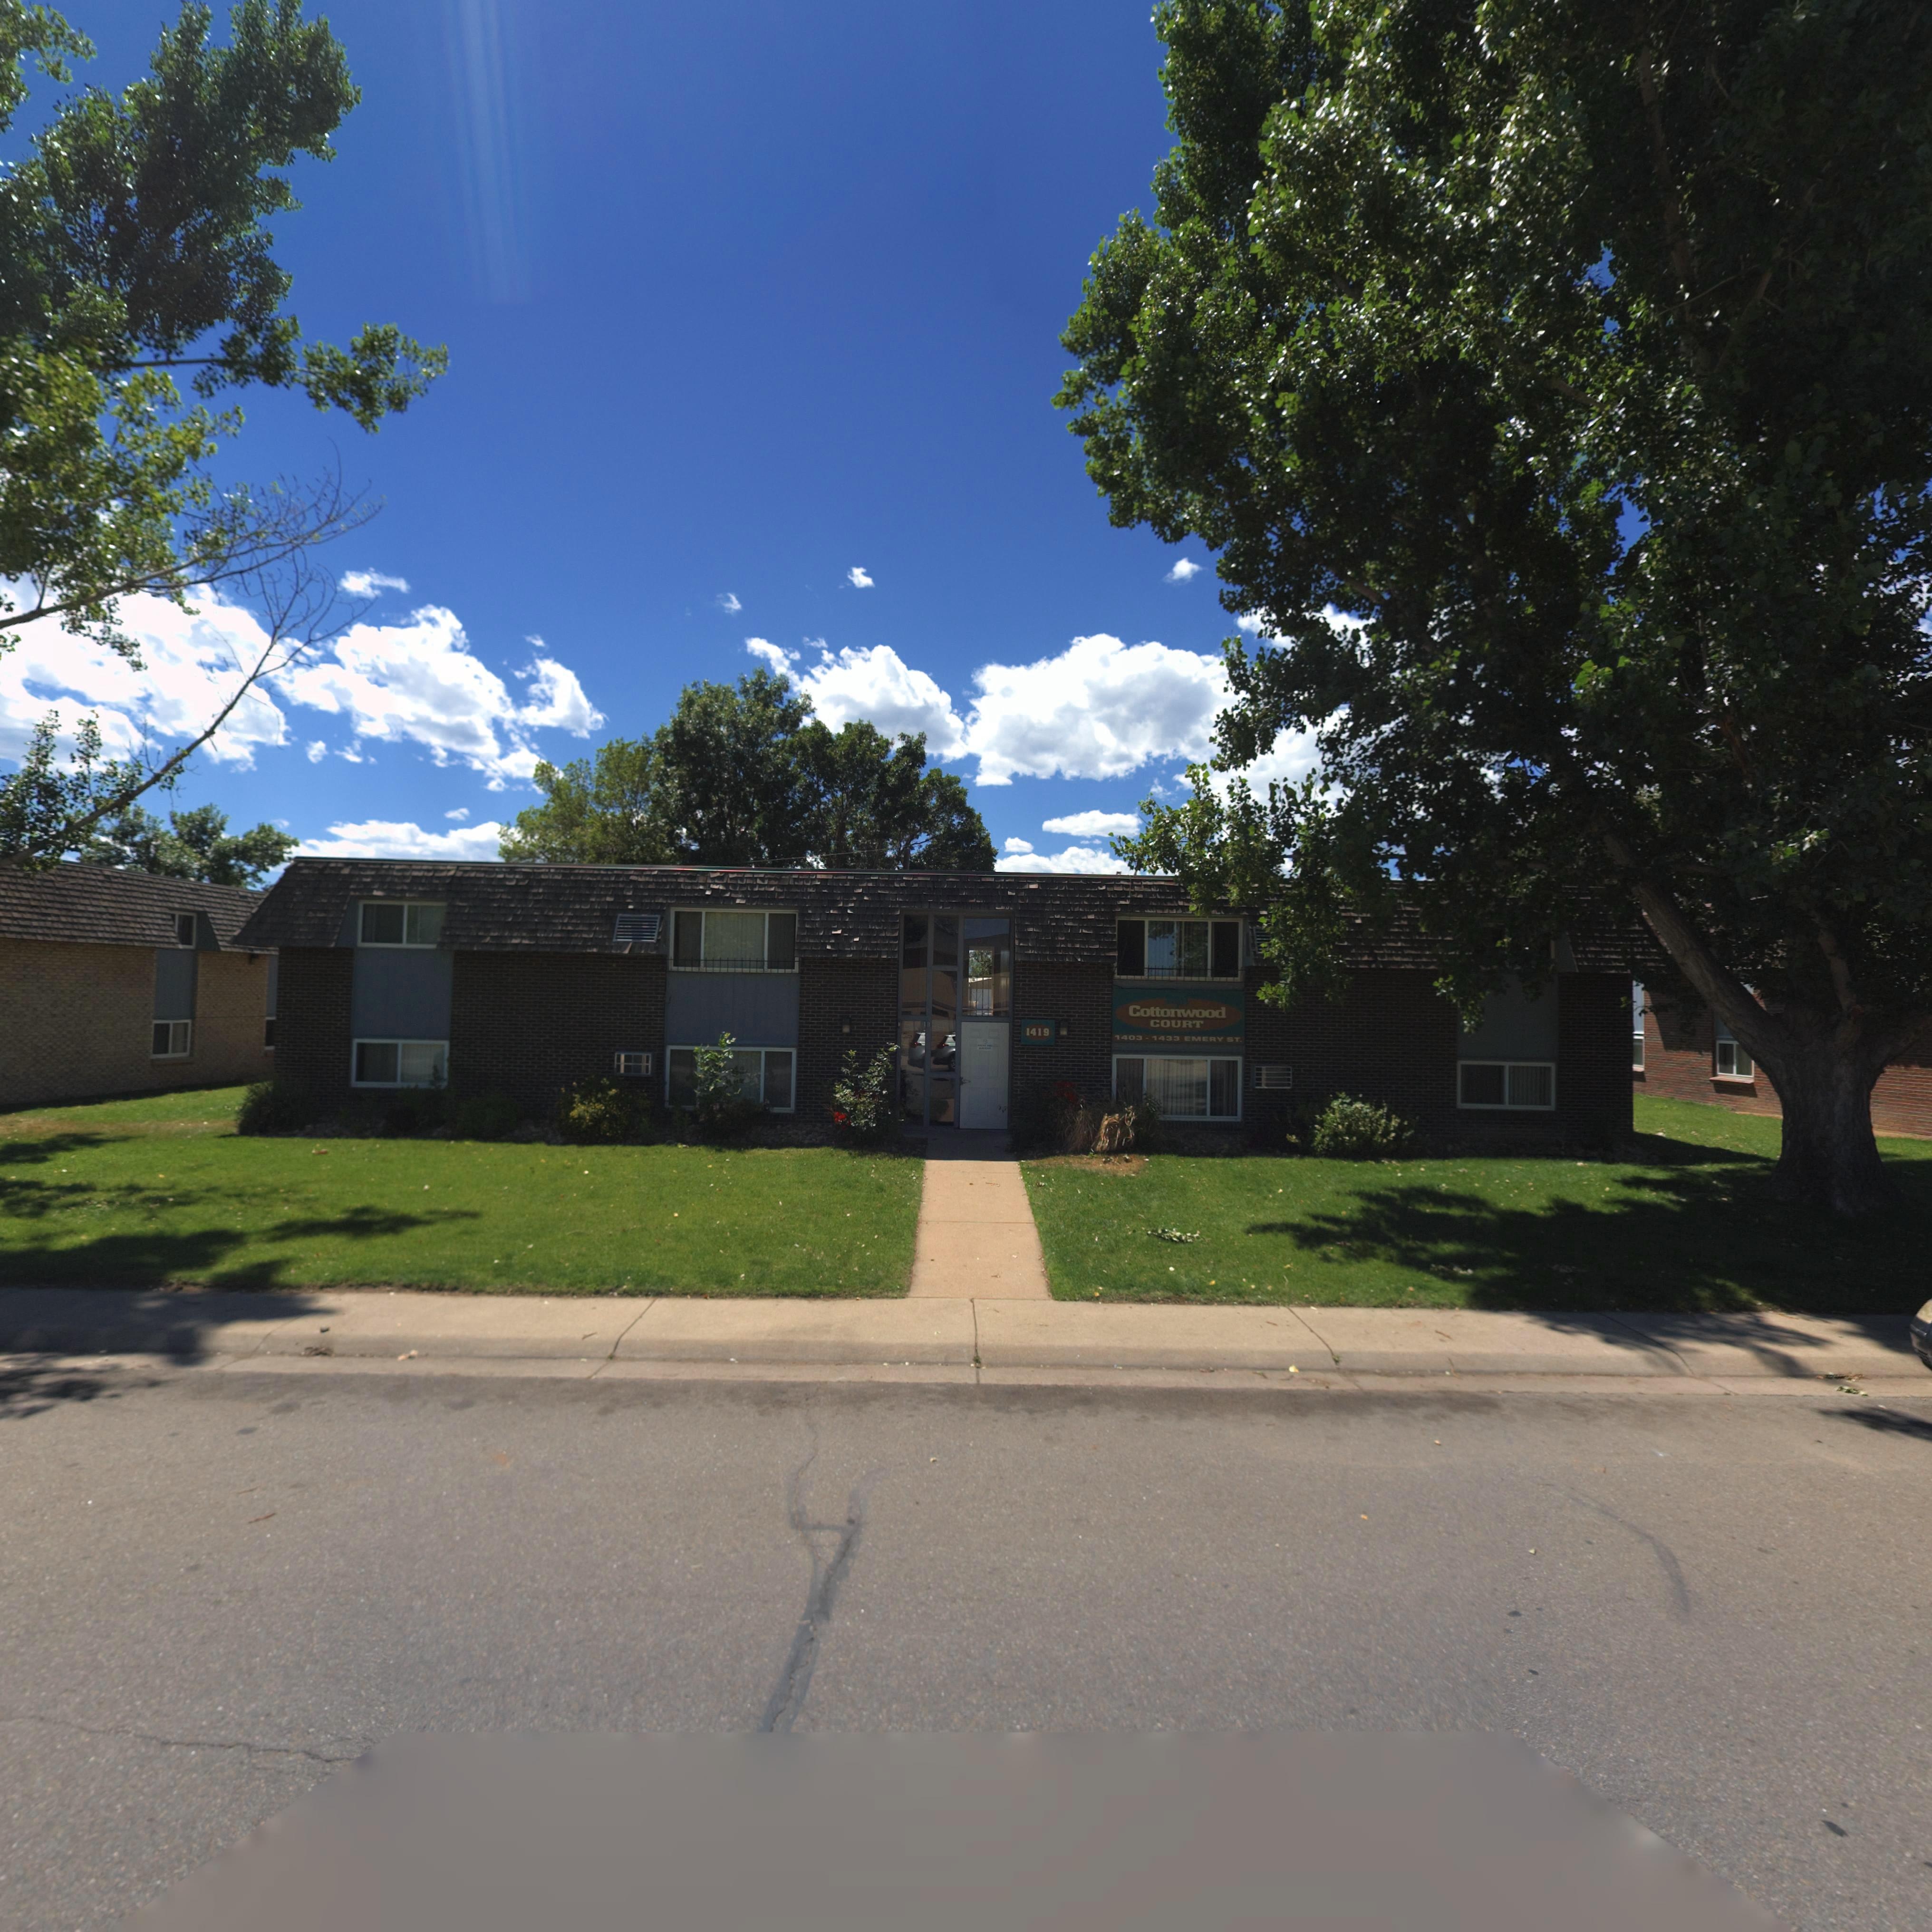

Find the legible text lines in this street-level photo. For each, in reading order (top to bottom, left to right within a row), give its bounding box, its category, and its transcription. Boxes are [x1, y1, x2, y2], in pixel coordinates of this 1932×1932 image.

[1128, 1004, 1227, 1018] BusinessName: Cottonwood
[1150, 1019, 1204, 1028] BusinessName: COURT
[1026, 1027, 1049, 1036] StreetNumber: 1419
[1114, 1034, 1142, 1041] StreetNumber: 1403
[1151, 1035, 1179, 1041] StreetNumber: 1433
[1184, 1035, 1242, 1043] StreetName: EMERY ST.